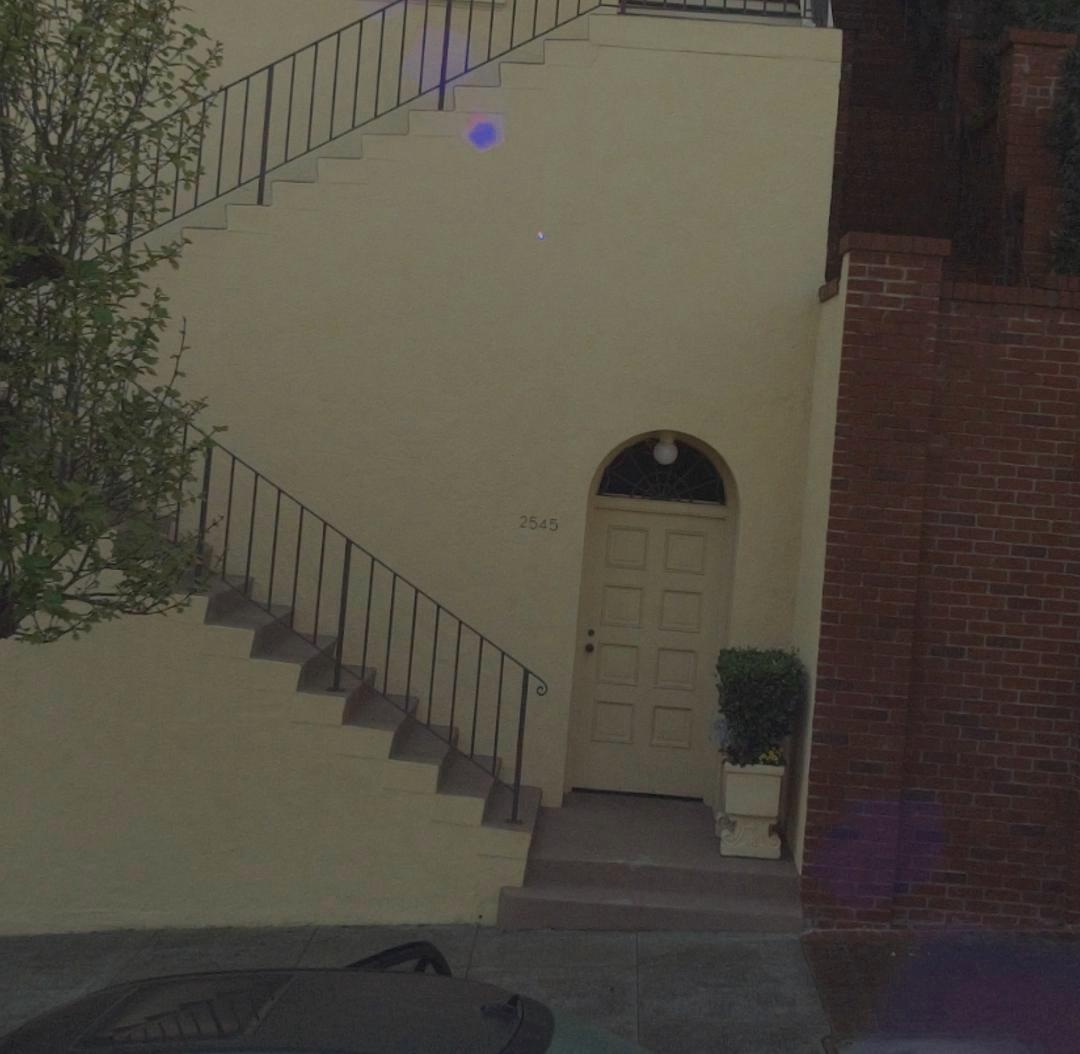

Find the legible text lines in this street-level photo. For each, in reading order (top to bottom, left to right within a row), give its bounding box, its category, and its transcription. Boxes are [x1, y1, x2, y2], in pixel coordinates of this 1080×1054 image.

[518, 513, 560, 534] StreetNumber: 2545